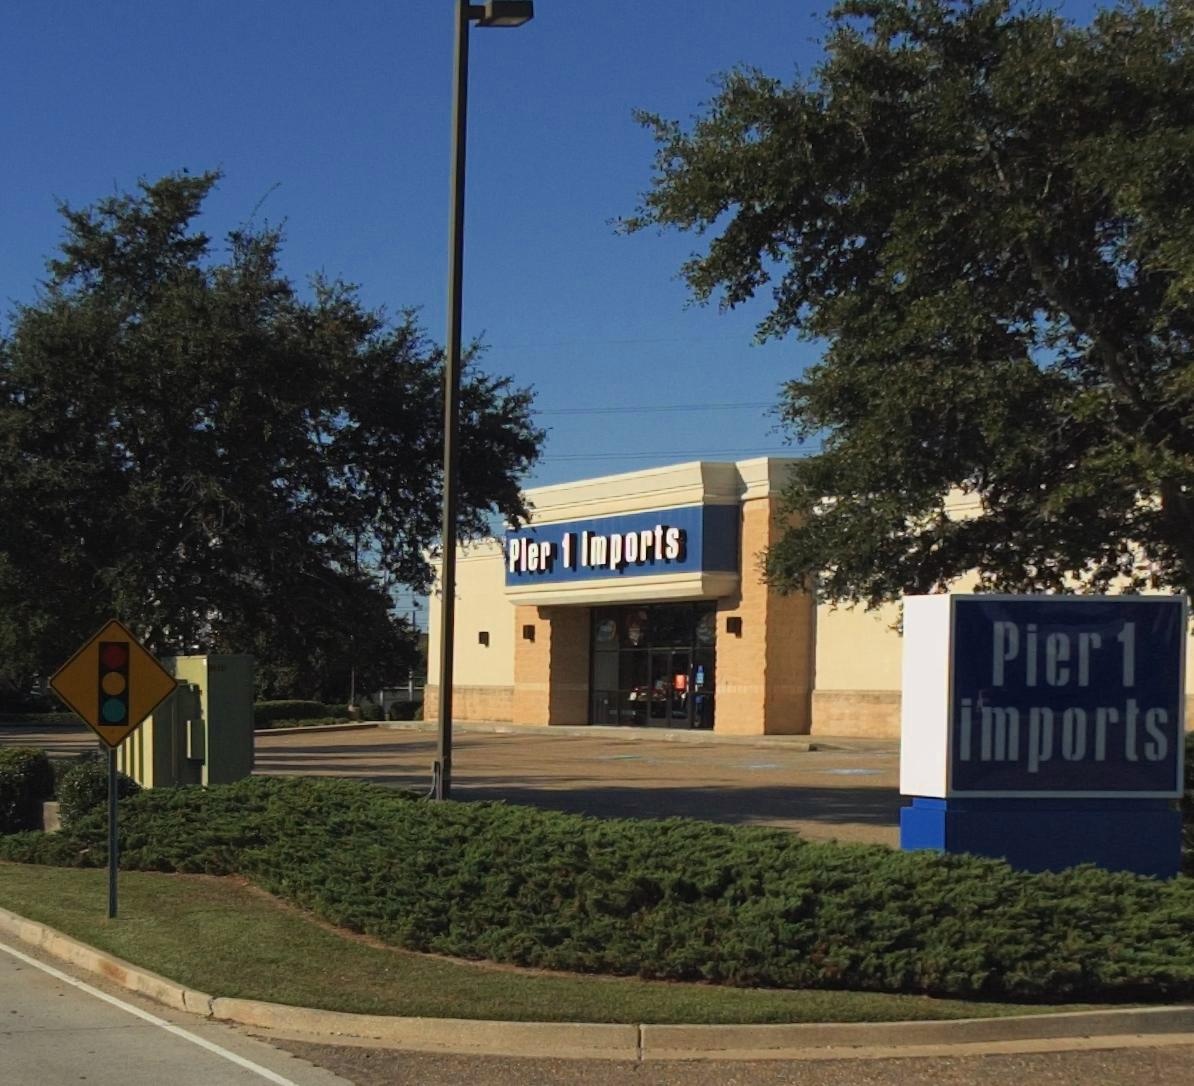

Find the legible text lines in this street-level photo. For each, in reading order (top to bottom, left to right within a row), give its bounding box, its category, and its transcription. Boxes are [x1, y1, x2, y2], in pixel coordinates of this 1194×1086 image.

[507, 514, 683, 579] BusinessName: Pier 1 Imports
[985, 612, 1141, 691] BusinessName: Pier 1
[957, 694, 1171, 777] BusinessName: imports